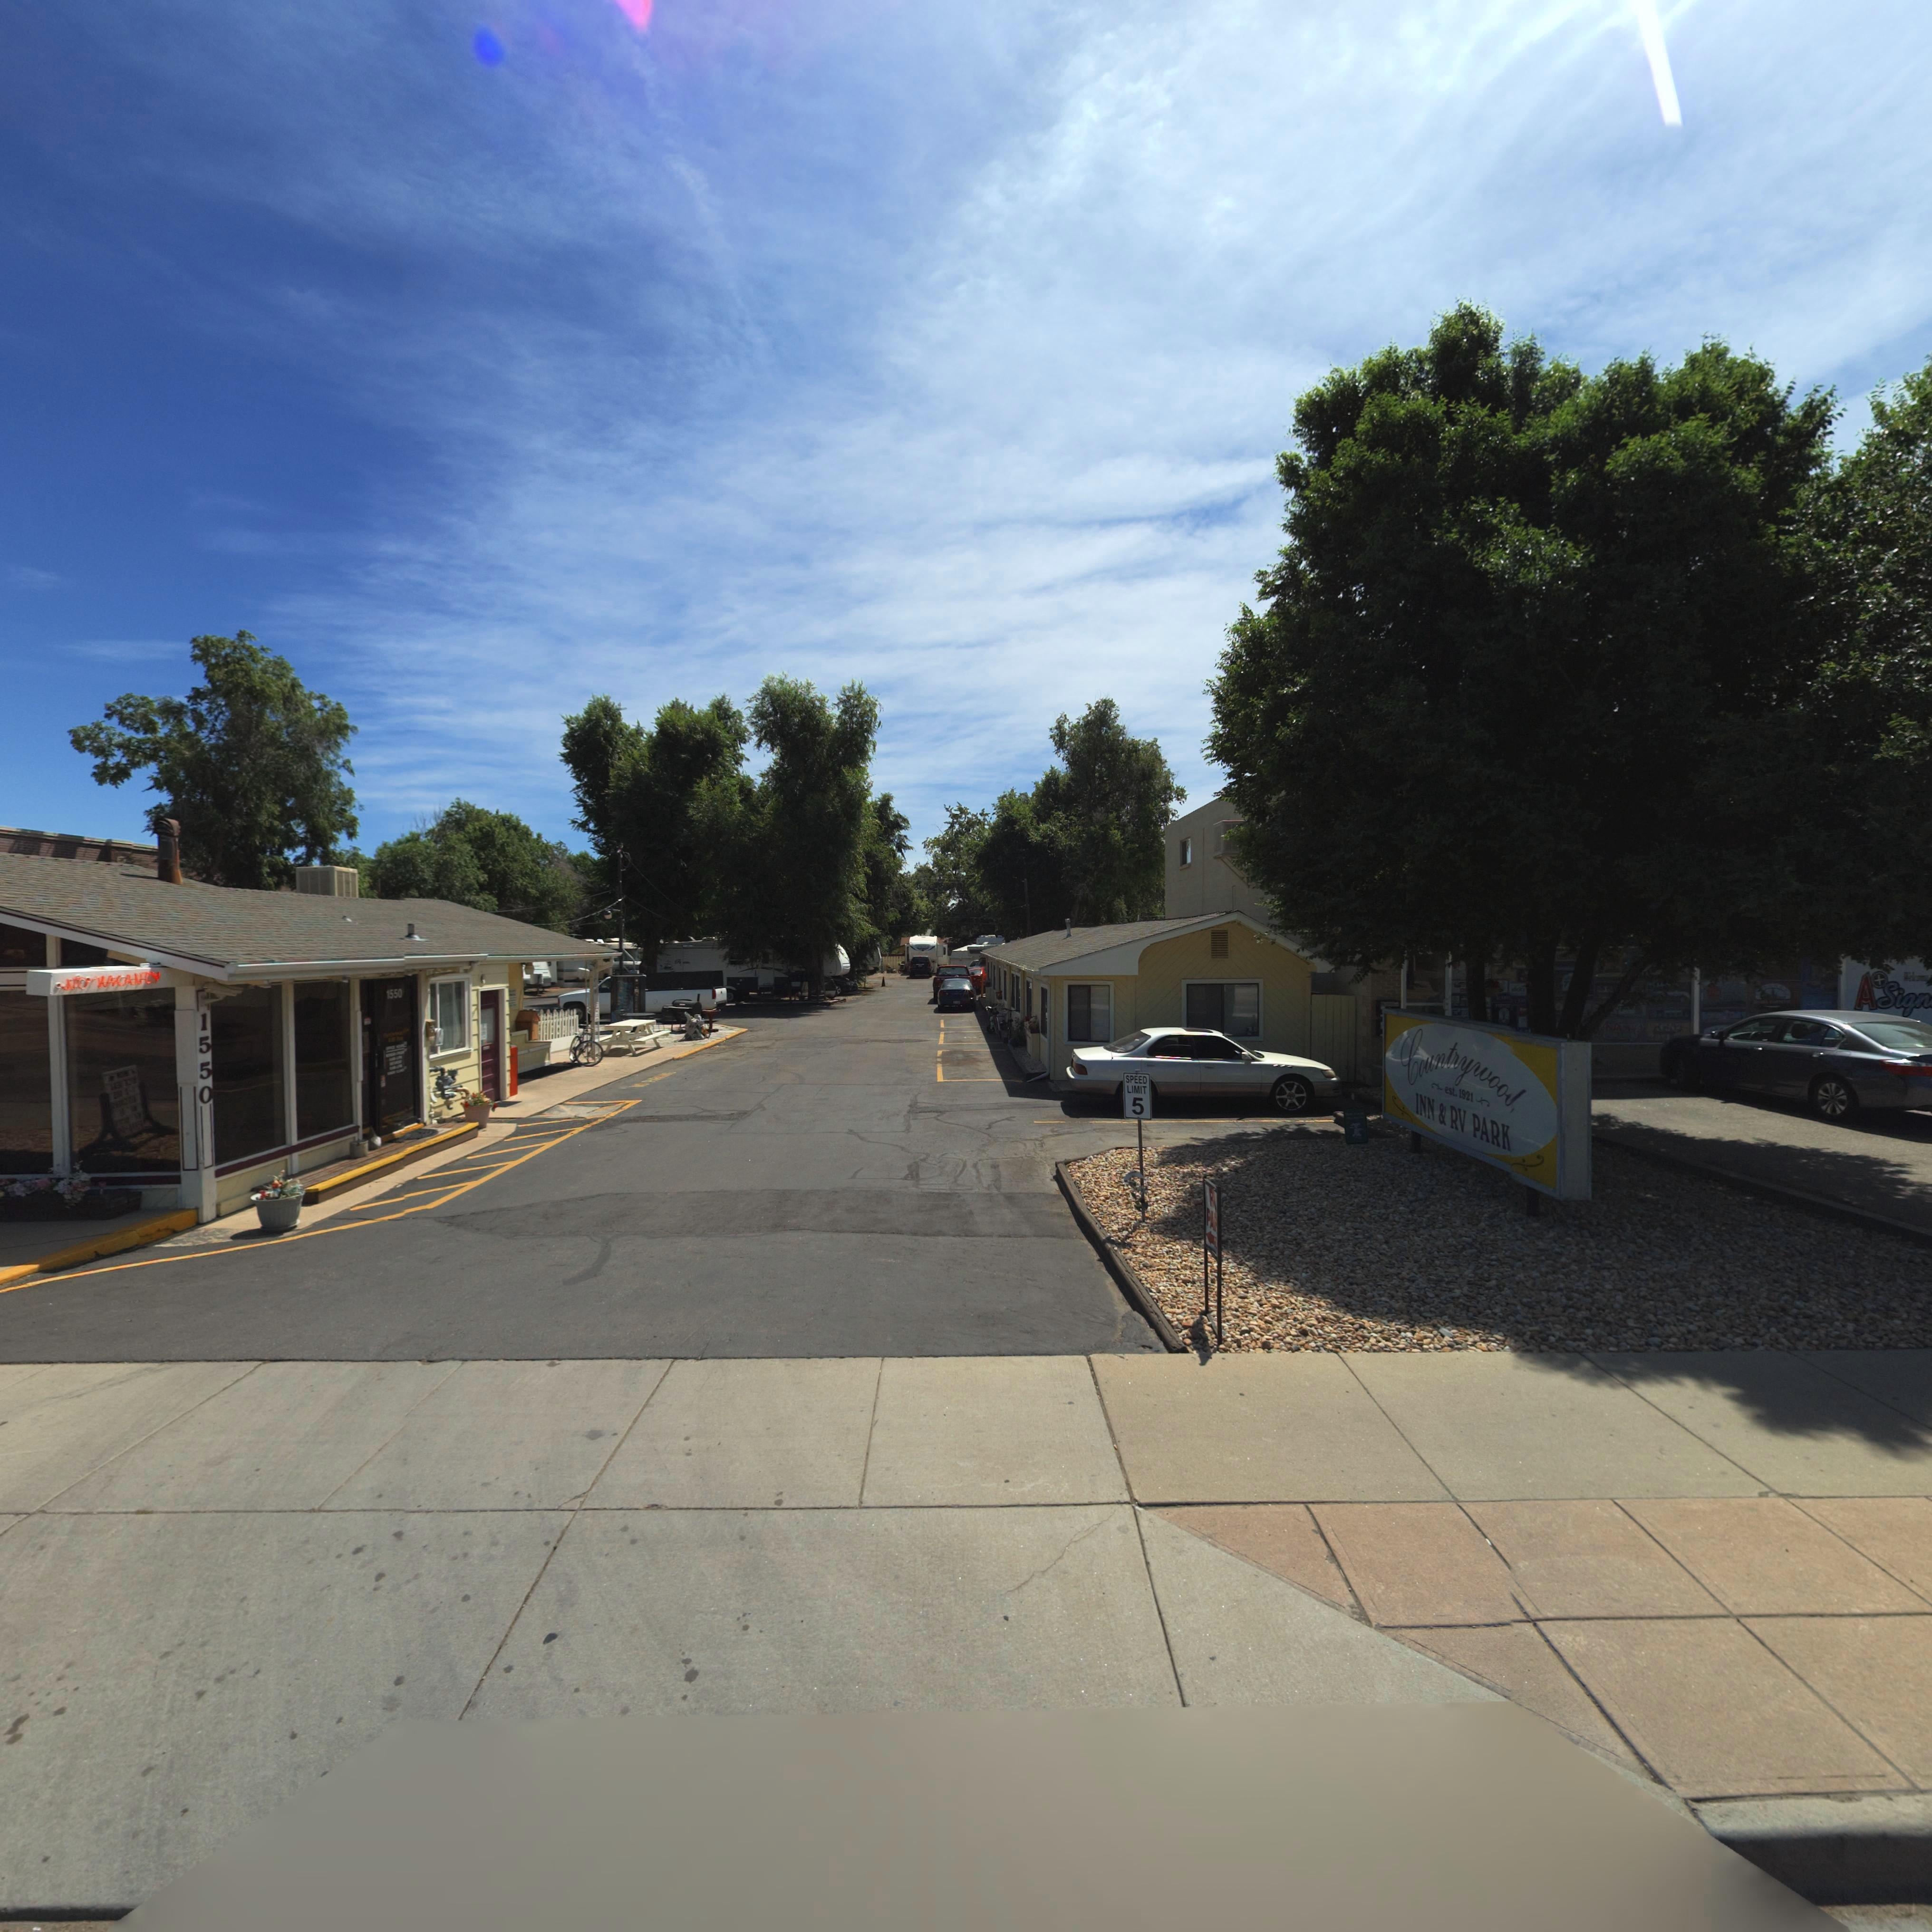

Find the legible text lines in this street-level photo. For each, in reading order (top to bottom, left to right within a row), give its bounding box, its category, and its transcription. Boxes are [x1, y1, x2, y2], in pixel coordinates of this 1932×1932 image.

[386, 988, 403, 999] StreetNumber: 1550
[1853, 969, 1932, 1018] BusinessName: A*Sign
[198, 1011, 215, 1107] StreetNumber: 1550
[1400, 1027, 1528, 1116] BusinessName: Countrywood
[1415, 1092, 1512, 1152] BusinessName: INN * RV PARK